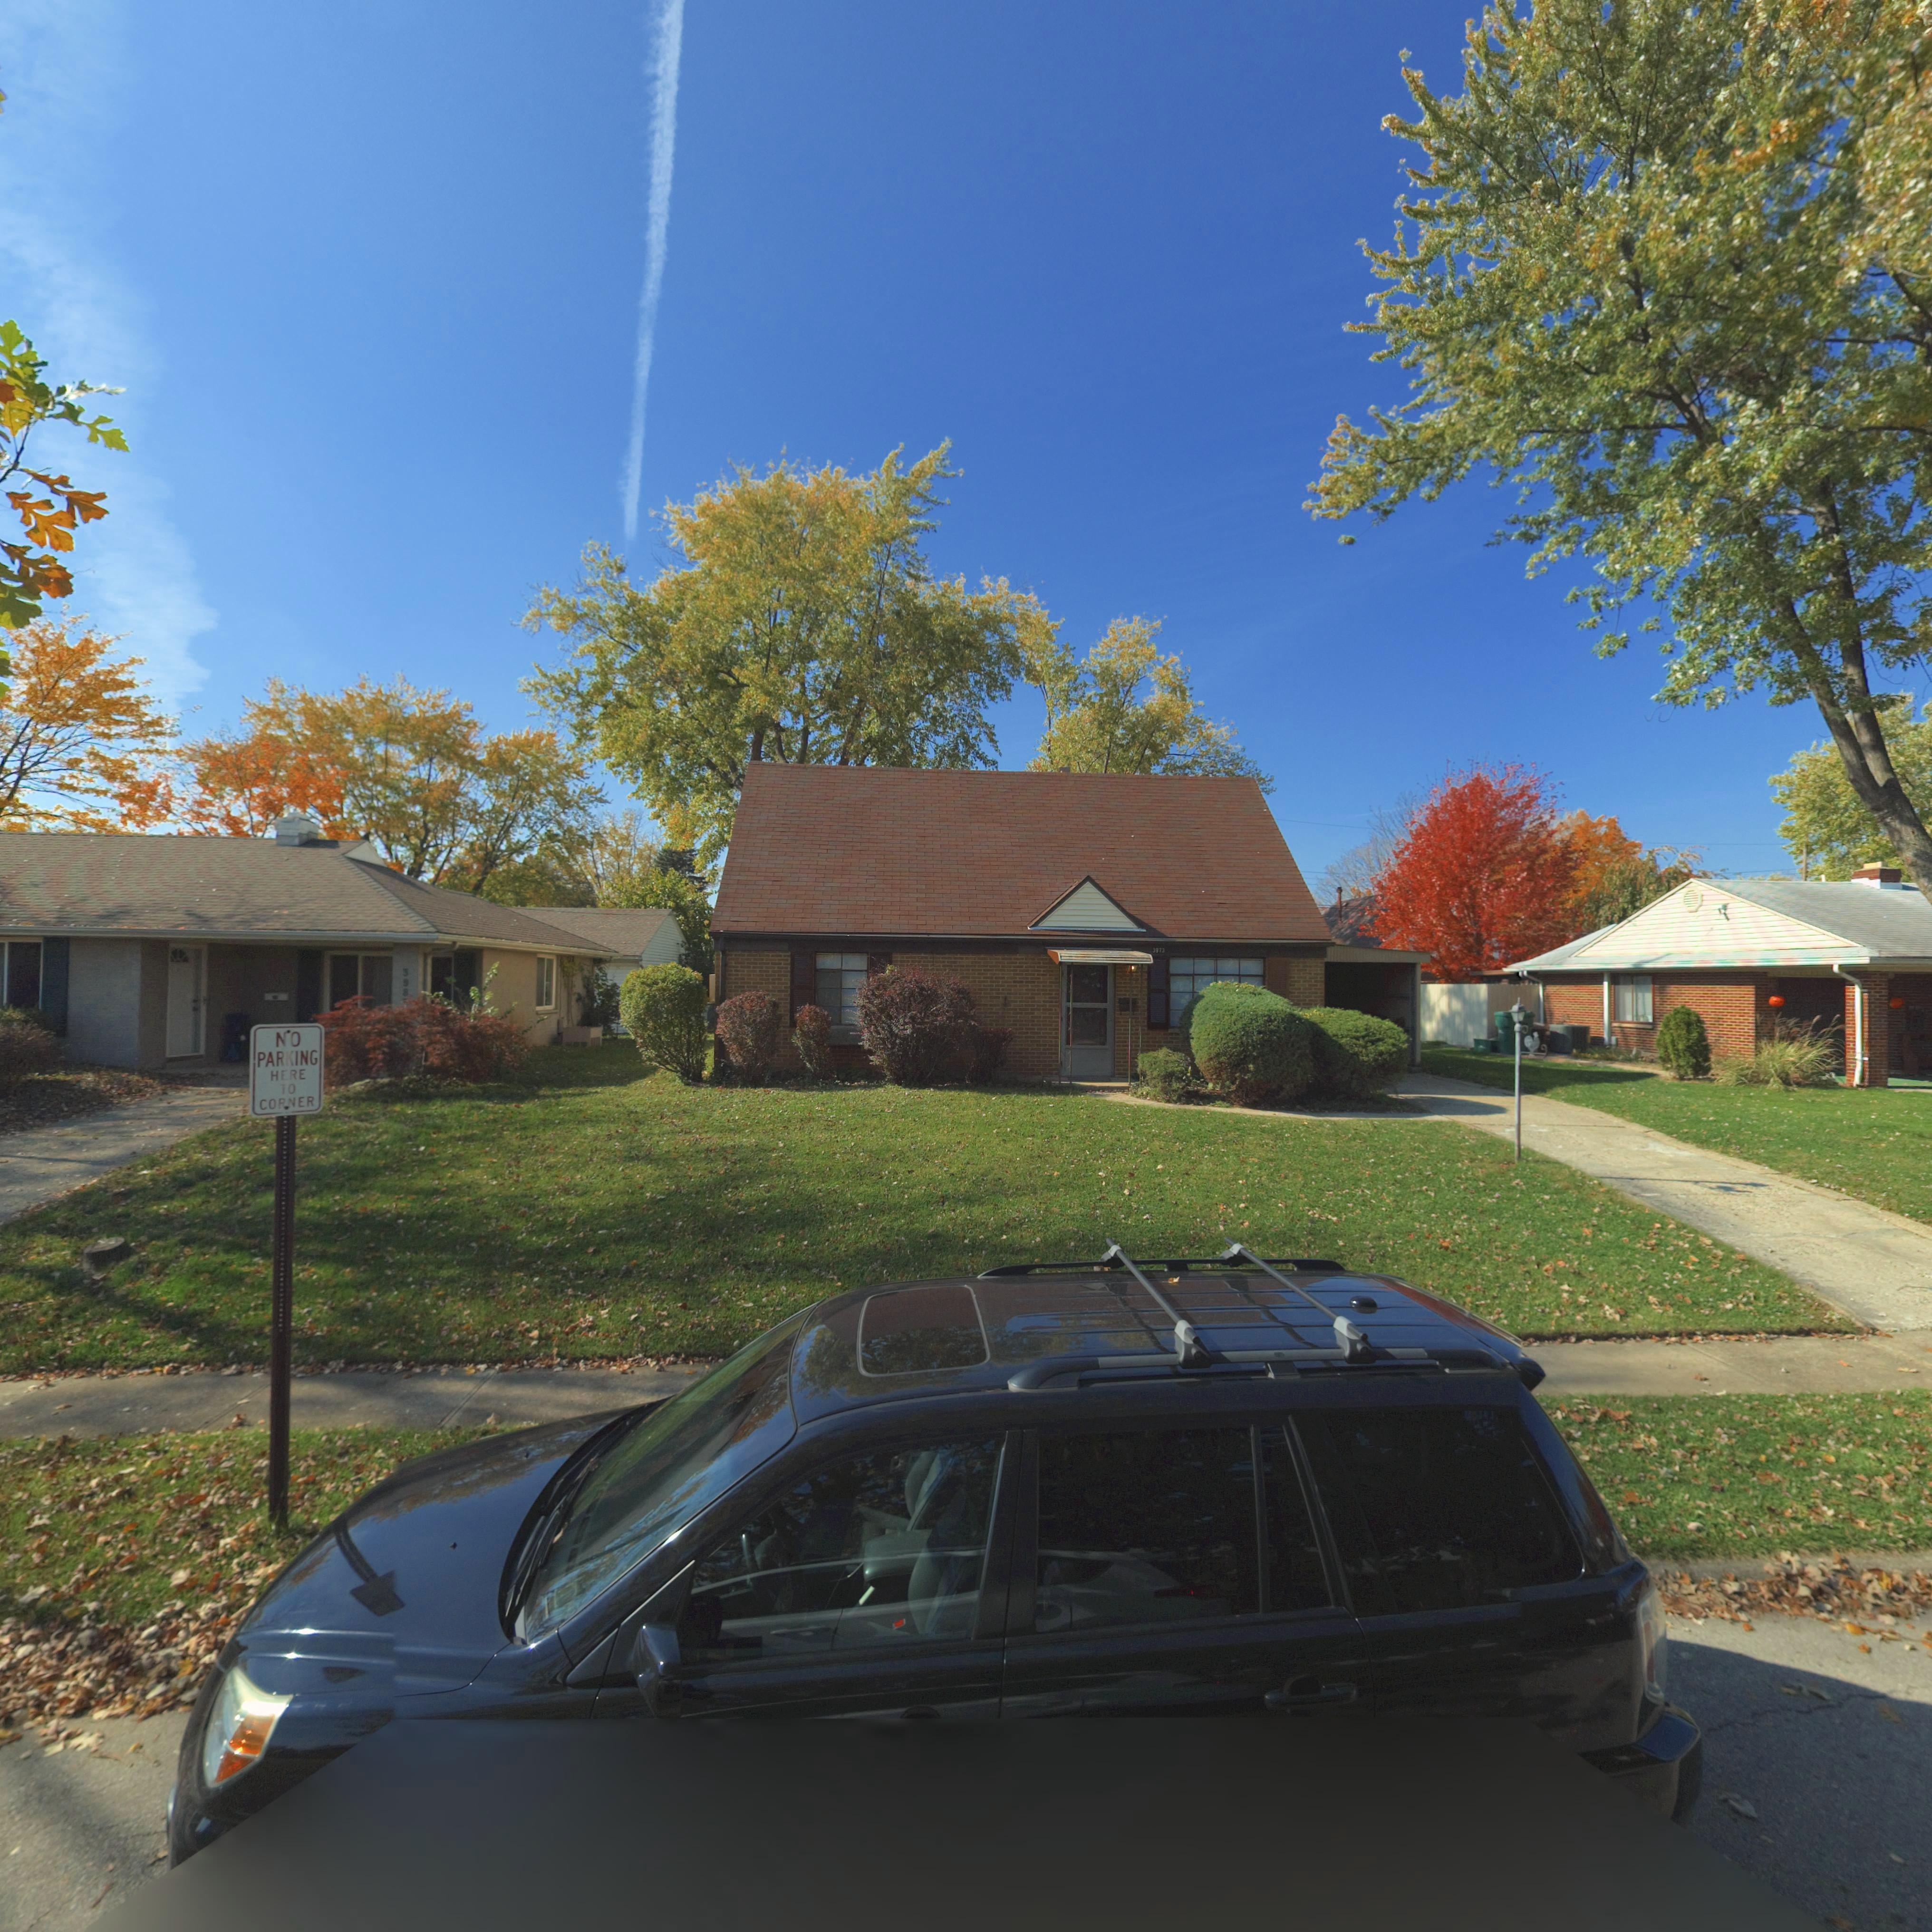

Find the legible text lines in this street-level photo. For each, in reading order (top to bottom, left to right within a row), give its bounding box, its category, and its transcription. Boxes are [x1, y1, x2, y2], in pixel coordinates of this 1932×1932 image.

[1151, 947, 1166, 954] StreetNumber: 3*73
[401, 966, 410, 998] StreetNumber: 398
[273, 1029, 303, 1051] None: NO
[256, 1047, 320, 1070] None: PARKING
[269, 1067, 308, 1083] None: HERE
[278, 1082, 298, 1096] None: TO
[259, 1094, 316, 1112] None: CORNER